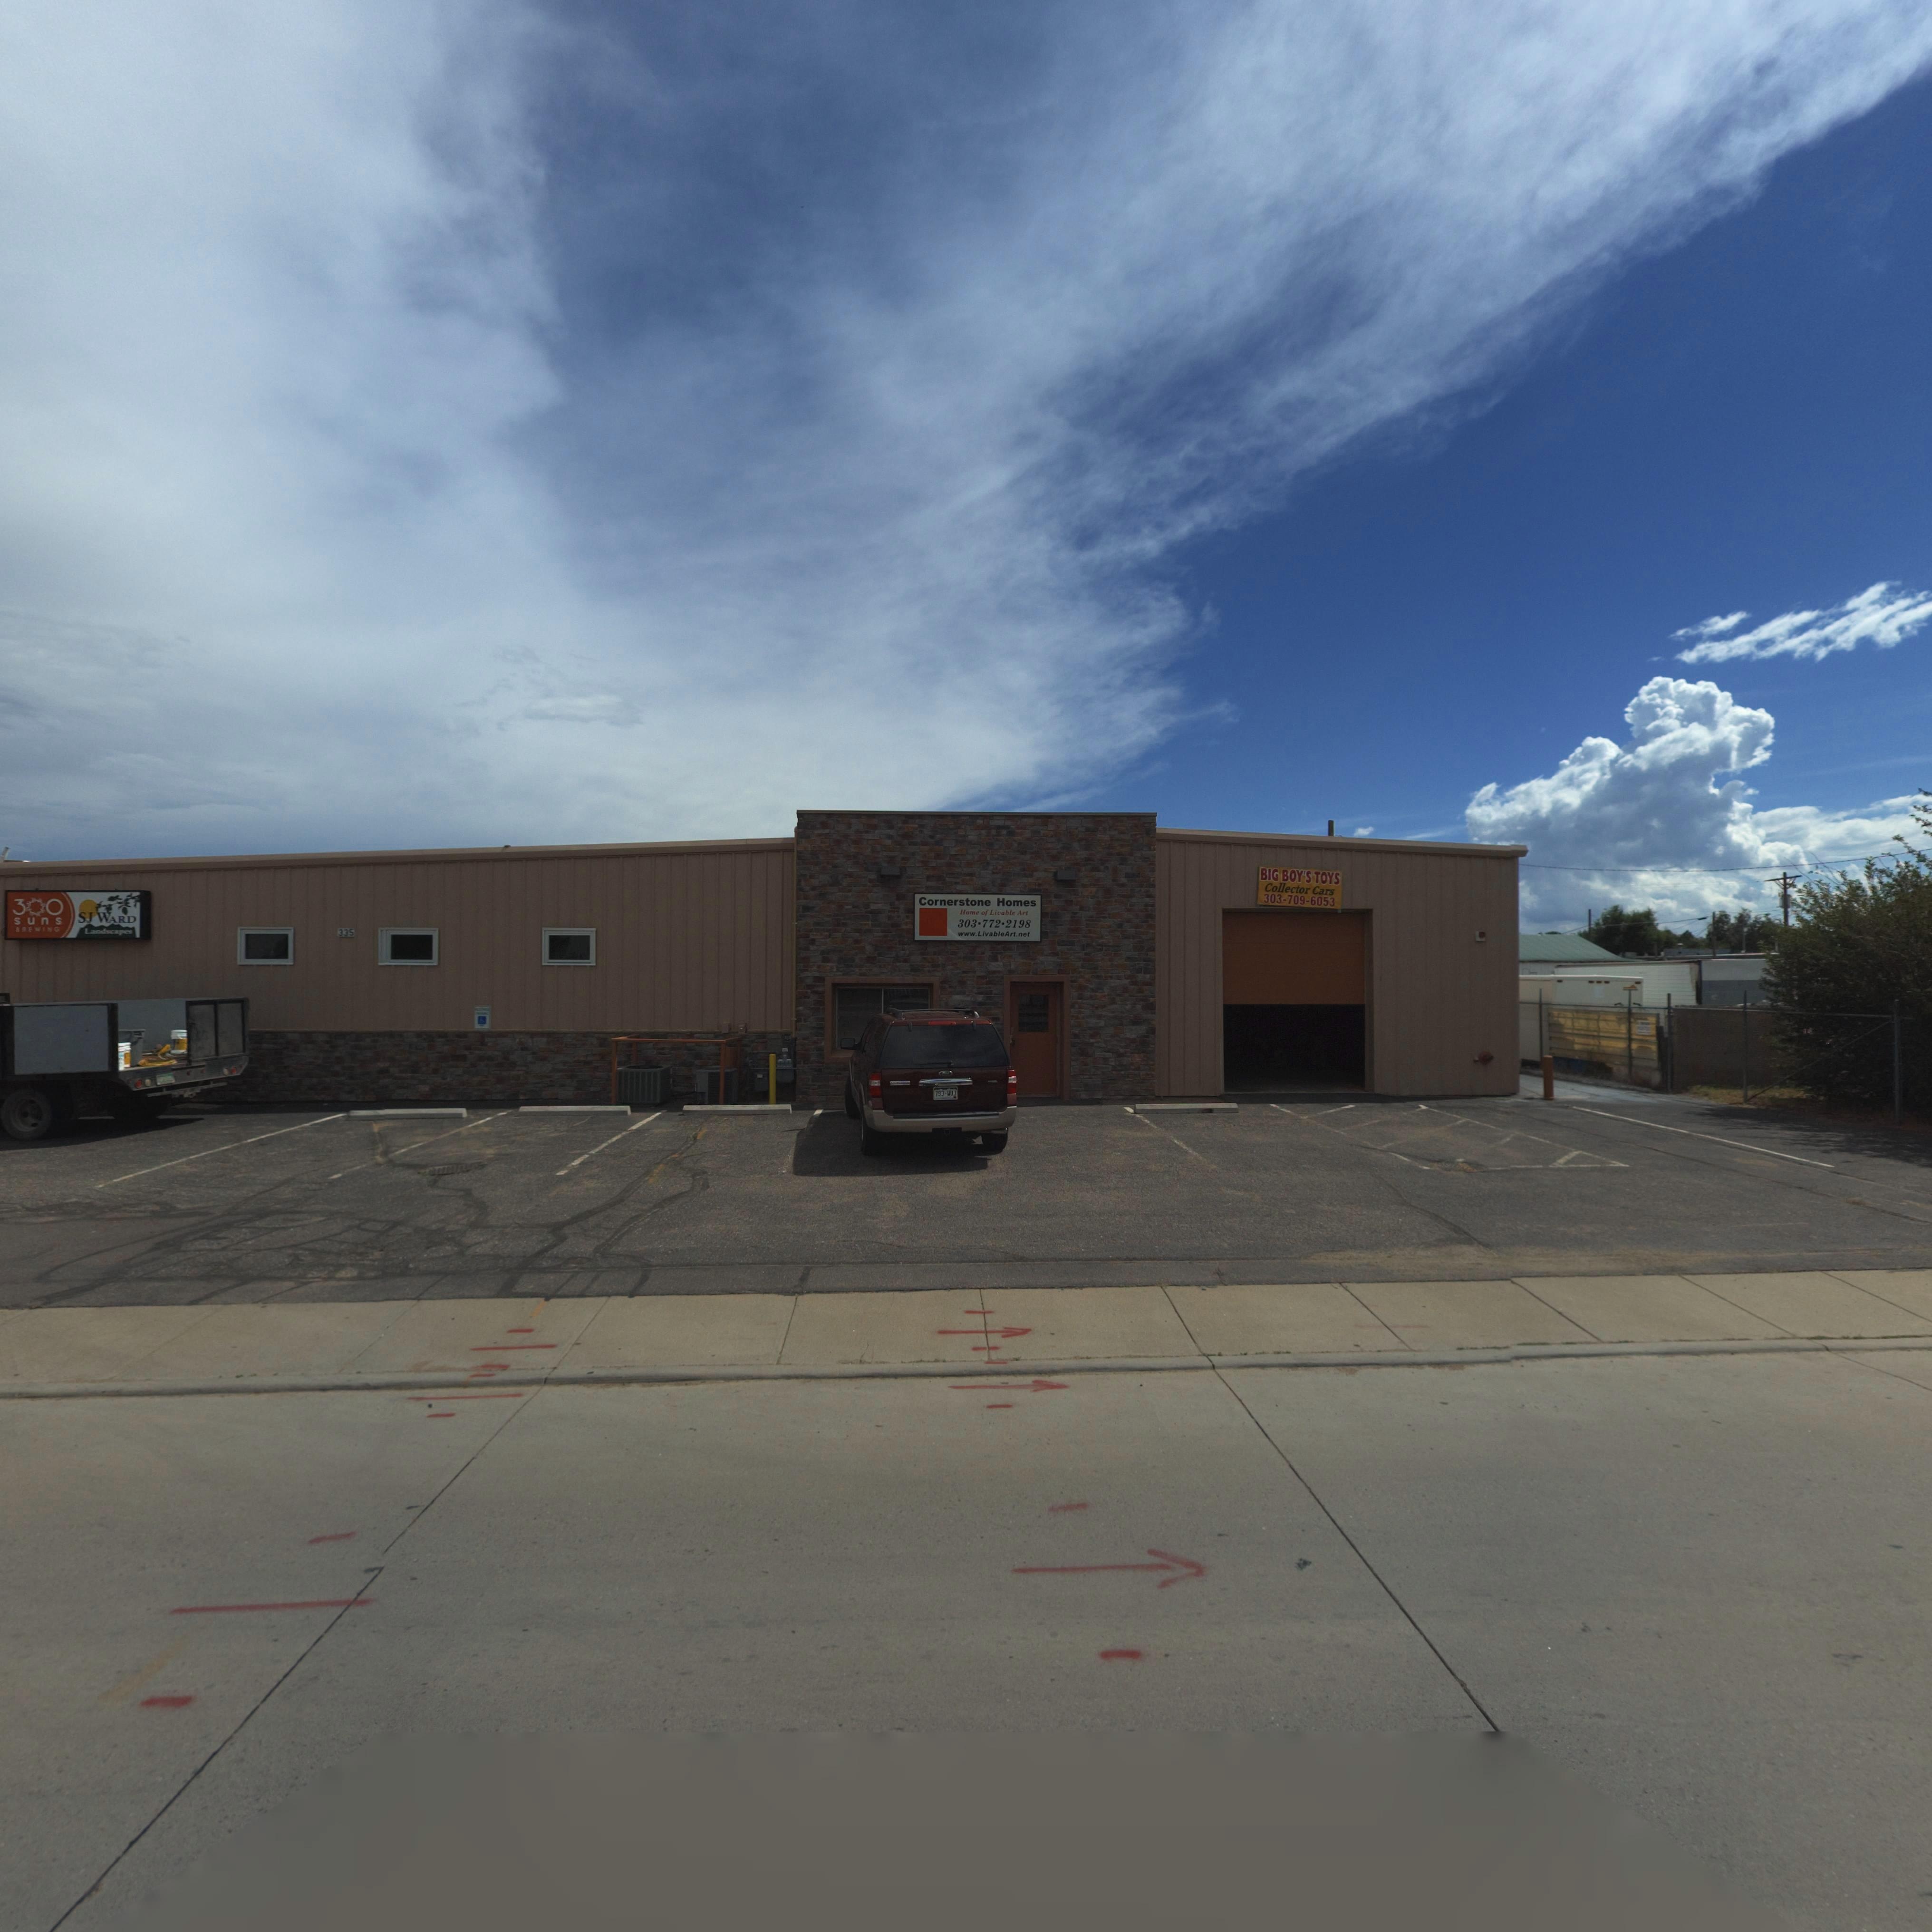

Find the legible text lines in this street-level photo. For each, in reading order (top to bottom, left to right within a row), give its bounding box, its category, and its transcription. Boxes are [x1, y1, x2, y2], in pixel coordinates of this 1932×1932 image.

[1260, 867, 1340, 885] BusinessName: BIG BOY'S TOYS
[11, 896, 64, 917] BusinessName: 3*0
[918, 896, 1036, 907] BusinessName: Cornerstone Homes
[14, 917, 62, 925] BusinessName: suns
[77, 911, 136, 924] BusinessName: SJ WARD
[15, 926, 60, 932] BusinessName: BREWING
[85, 927, 133, 937] BusinessName: Land*capes
[338, 928, 354, 936] StreetNumber: 335